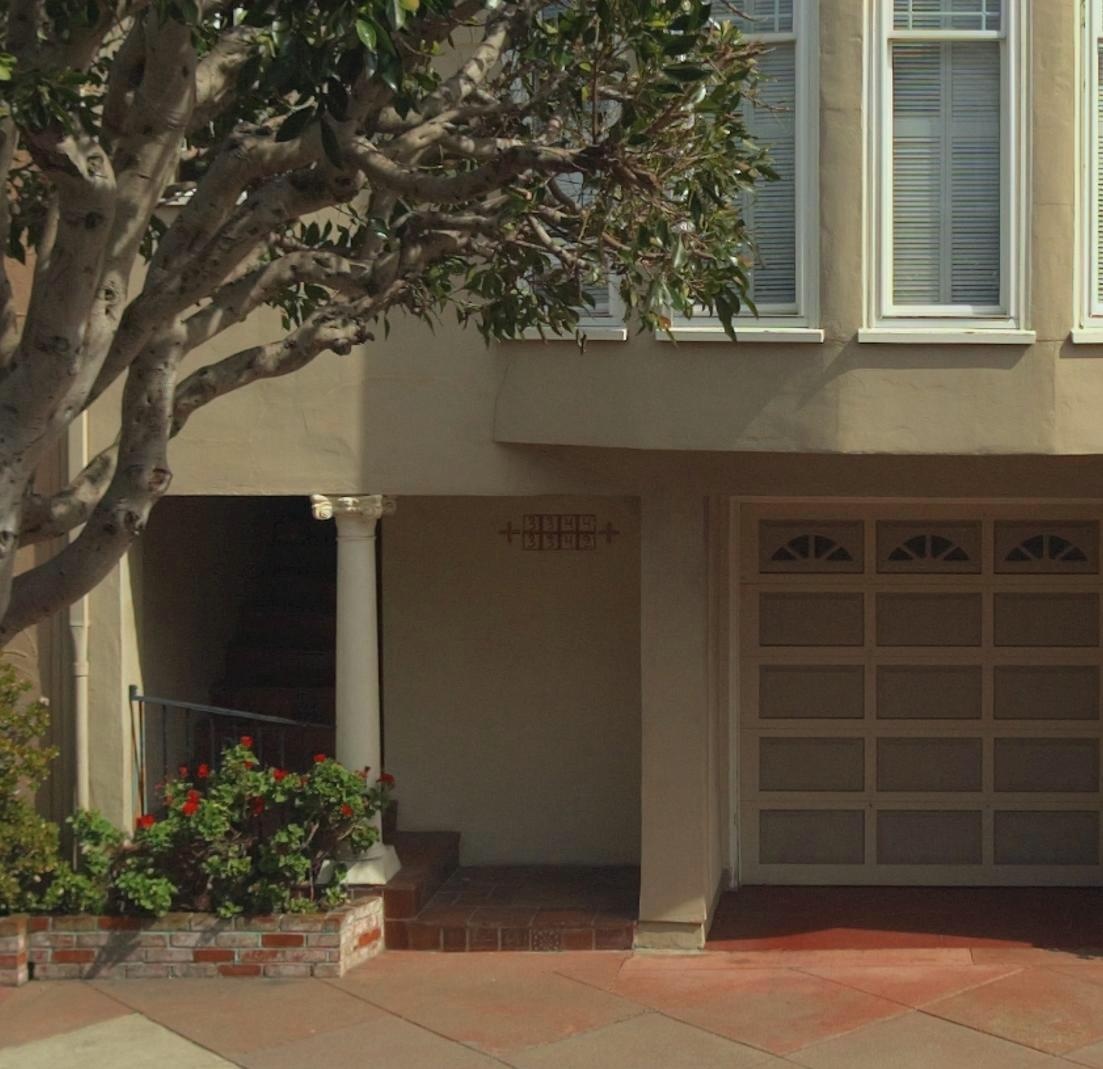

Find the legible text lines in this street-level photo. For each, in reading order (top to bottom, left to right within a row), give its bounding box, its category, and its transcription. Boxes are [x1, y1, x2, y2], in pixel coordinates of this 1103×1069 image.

[526, 514, 593, 533] StreetNumber: 3344
[526, 532, 593, 550] None: 3342